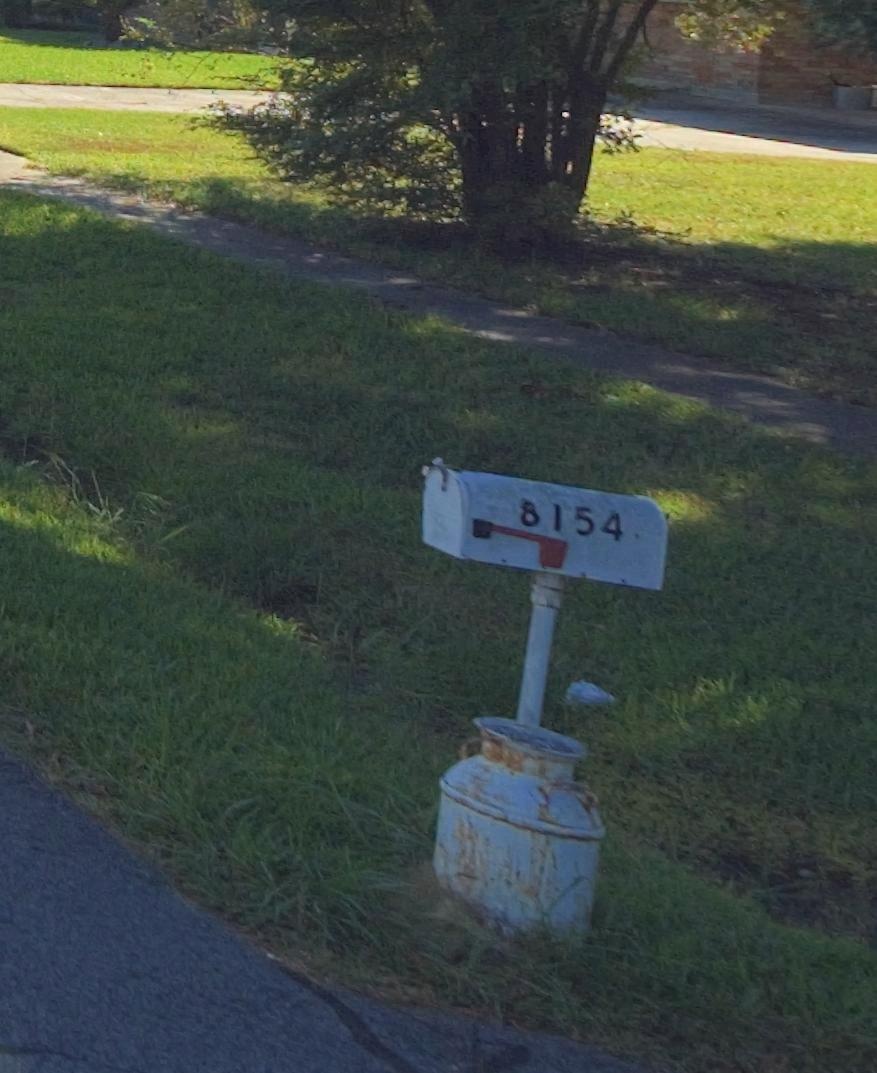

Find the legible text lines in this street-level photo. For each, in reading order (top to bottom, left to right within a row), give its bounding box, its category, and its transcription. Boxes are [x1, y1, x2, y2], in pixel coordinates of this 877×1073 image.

[516, 493, 627, 545] StreetNumber: 8154